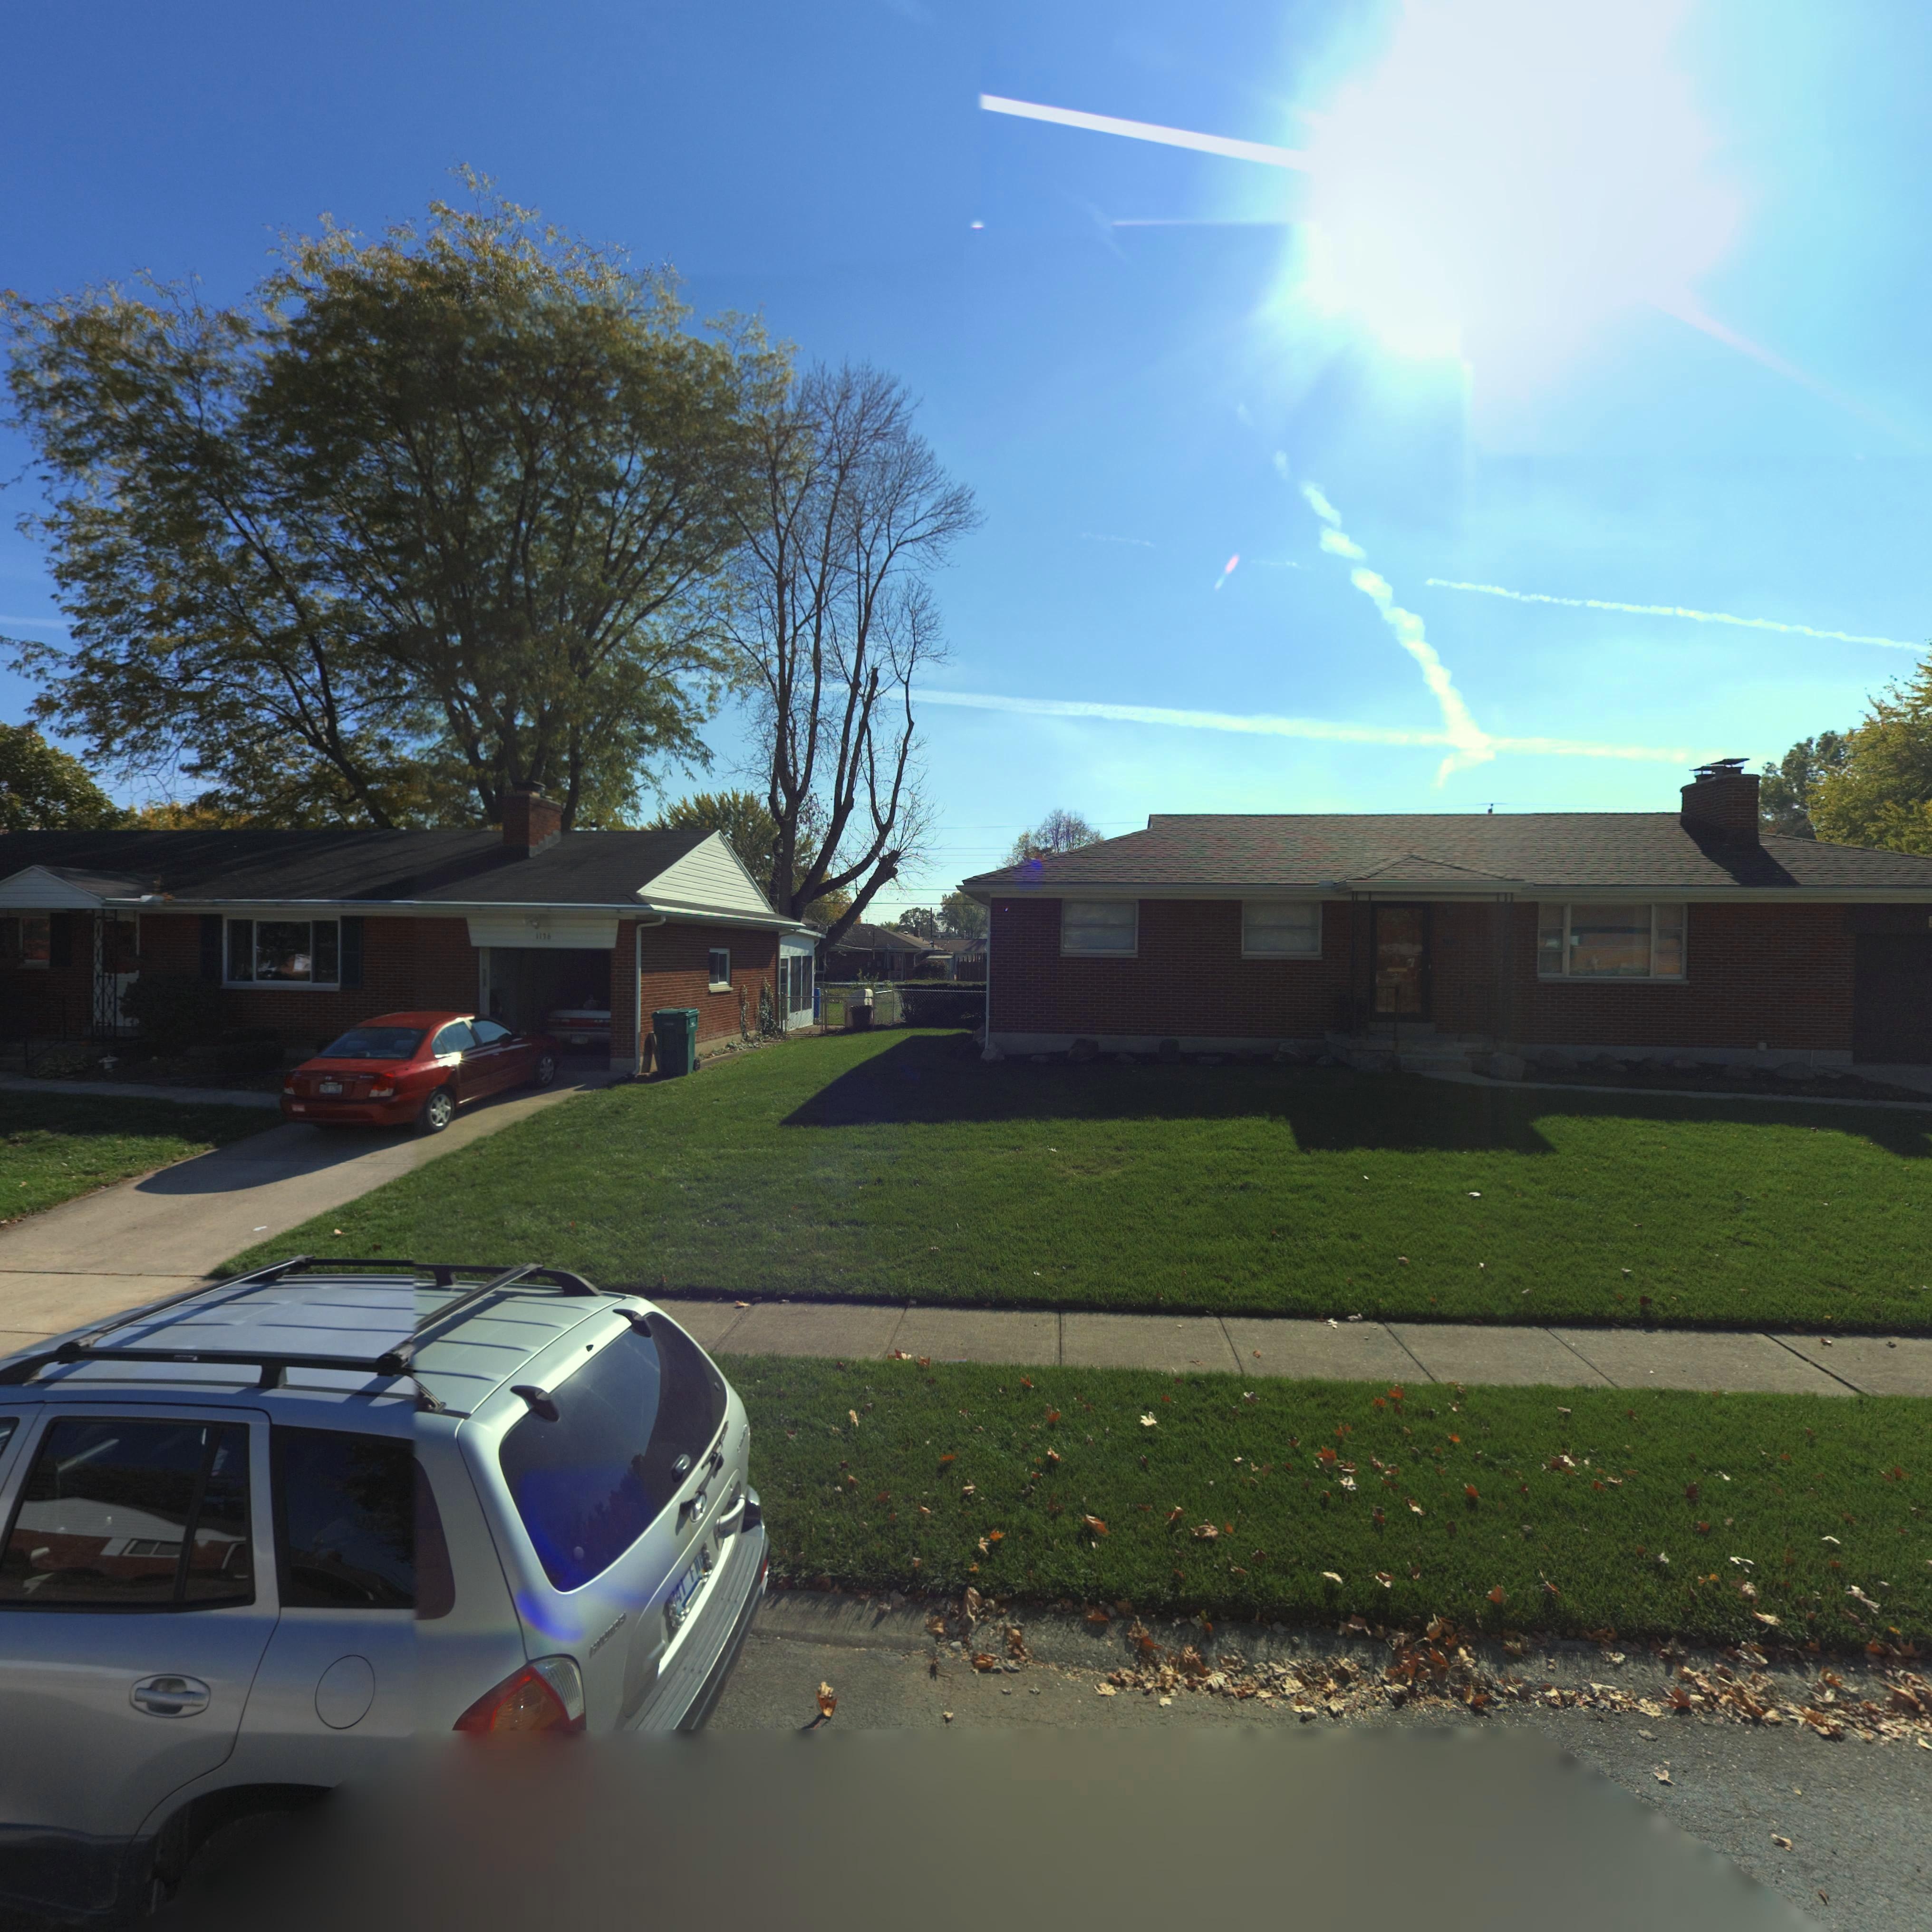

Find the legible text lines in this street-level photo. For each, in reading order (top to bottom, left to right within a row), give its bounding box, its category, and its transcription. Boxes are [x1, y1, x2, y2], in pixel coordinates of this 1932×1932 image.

[534, 932, 552, 941] None: 1136